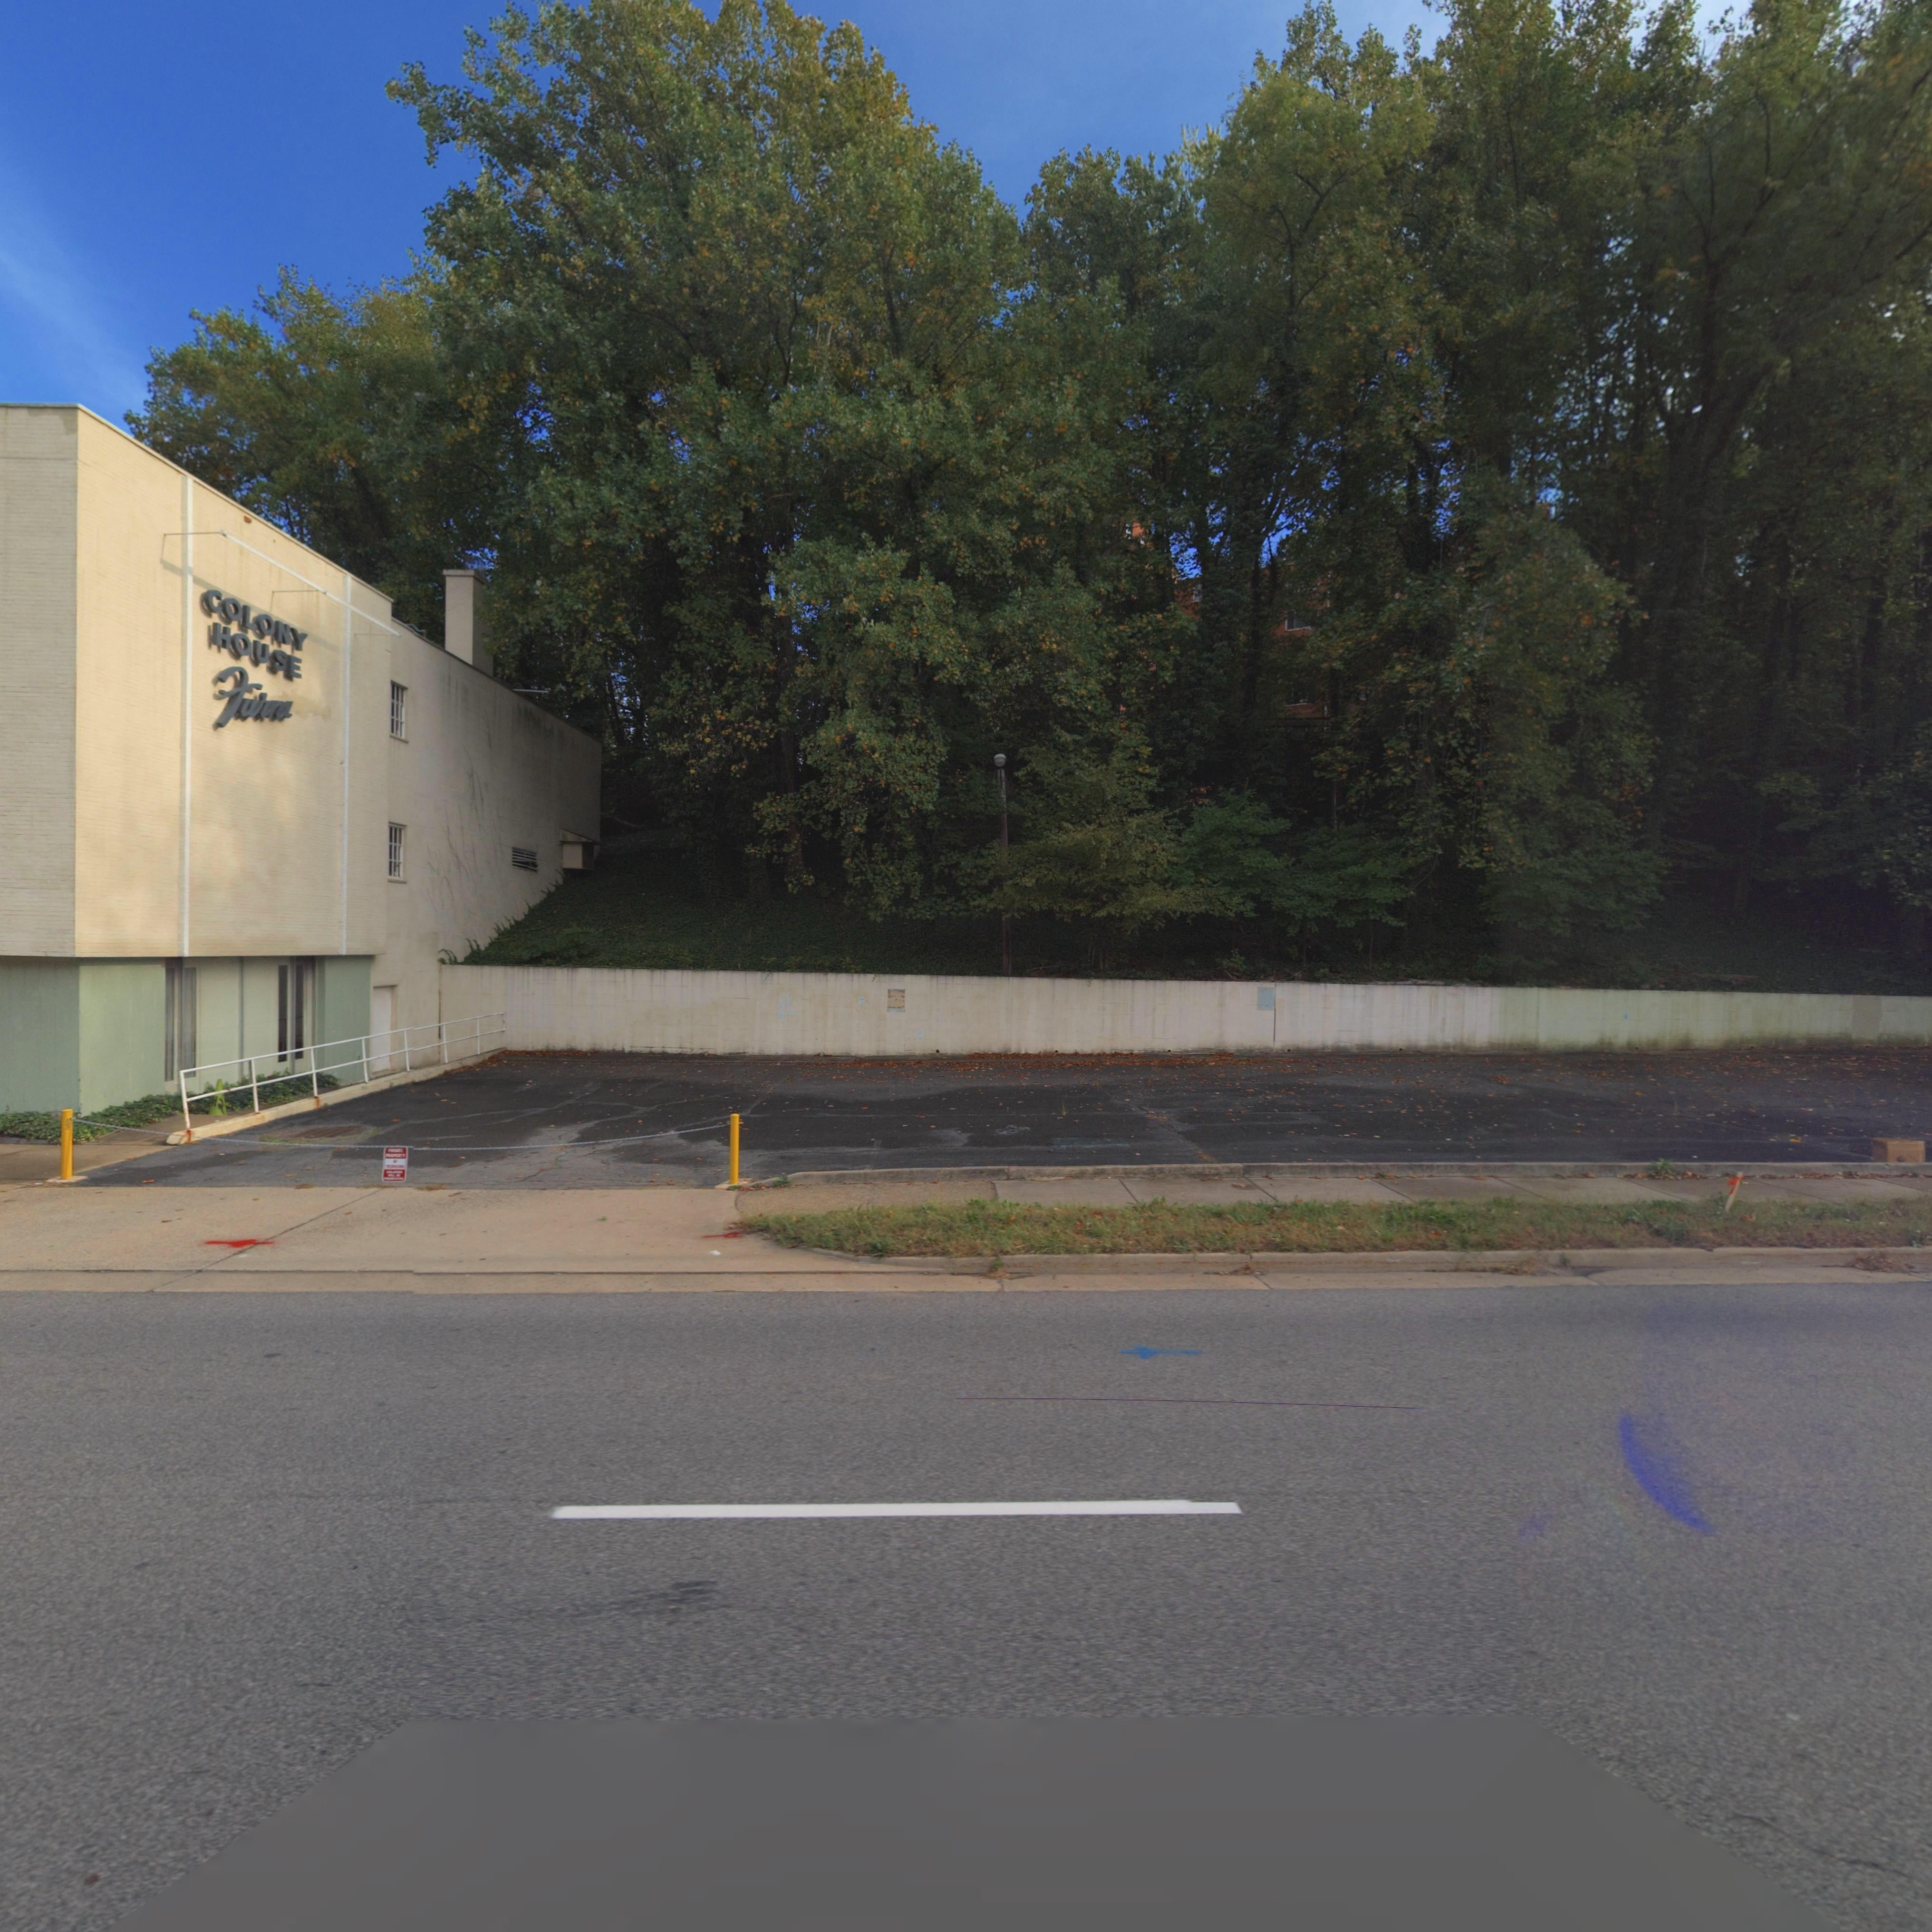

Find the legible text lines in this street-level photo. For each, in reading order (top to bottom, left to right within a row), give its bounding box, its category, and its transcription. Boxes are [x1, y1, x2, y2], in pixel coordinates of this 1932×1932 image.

[201, 586, 312, 655] BusinessName: COLONY
[211, 619, 305, 682] BusinessName: HOUSE
[215, 665, 287, 733] BusinessName: furn